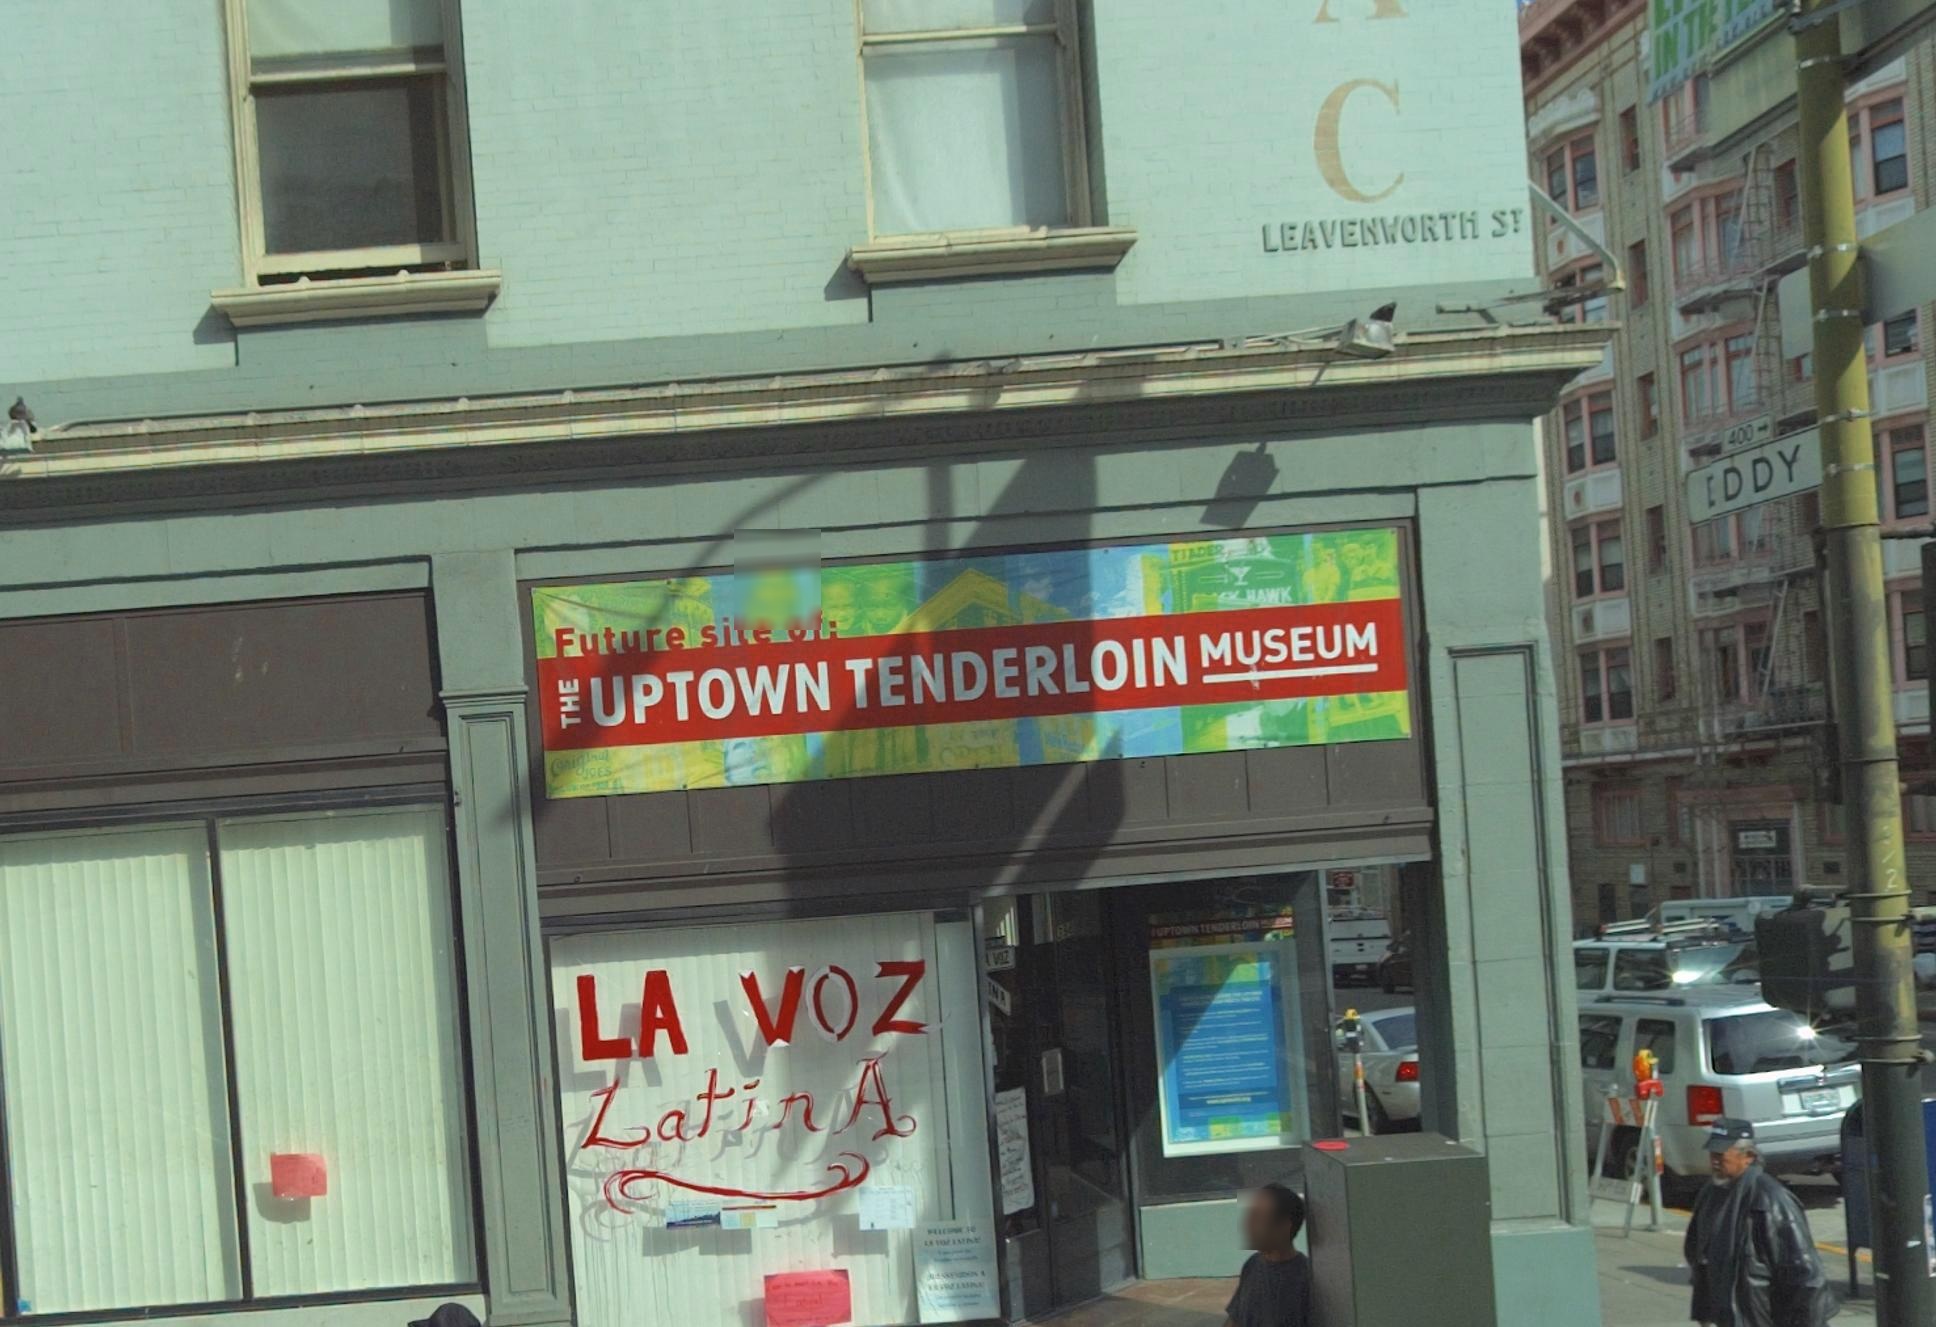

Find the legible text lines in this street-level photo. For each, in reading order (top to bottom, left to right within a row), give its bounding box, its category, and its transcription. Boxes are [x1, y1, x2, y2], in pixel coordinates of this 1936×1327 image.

[1650, 5, 1701, 83] None: IN T
[1308, 71, 1411, 208] None: C
[1258, 203, 1527, 258] StreetName: LEAVENWORTH ST
[1725, 414, 1773, 451] StreetNumberRange: 400->
[1719, 439, 1805, 506] StreetName: DDY
[552, 607, 826, 661] None: Future site of
[555, 675, 583, 733] BusinessName: THE
[586, 615, 1382, 734] BusinessName: UPTOWN TENDERLOIN MUSEUM
[1877, 821, 1902, 892] None: 32
[1056, 920, 1077, 941] StreetNumber: 3**
[1153, 917, 1262, 939] None: UPTOWN TENDERLOIN
[574, 954, 939, 1066] None: LA VOZ
[986, 974, 1011, 1010] None: INA
[574, 1052, 921, 1155] None: Latin A